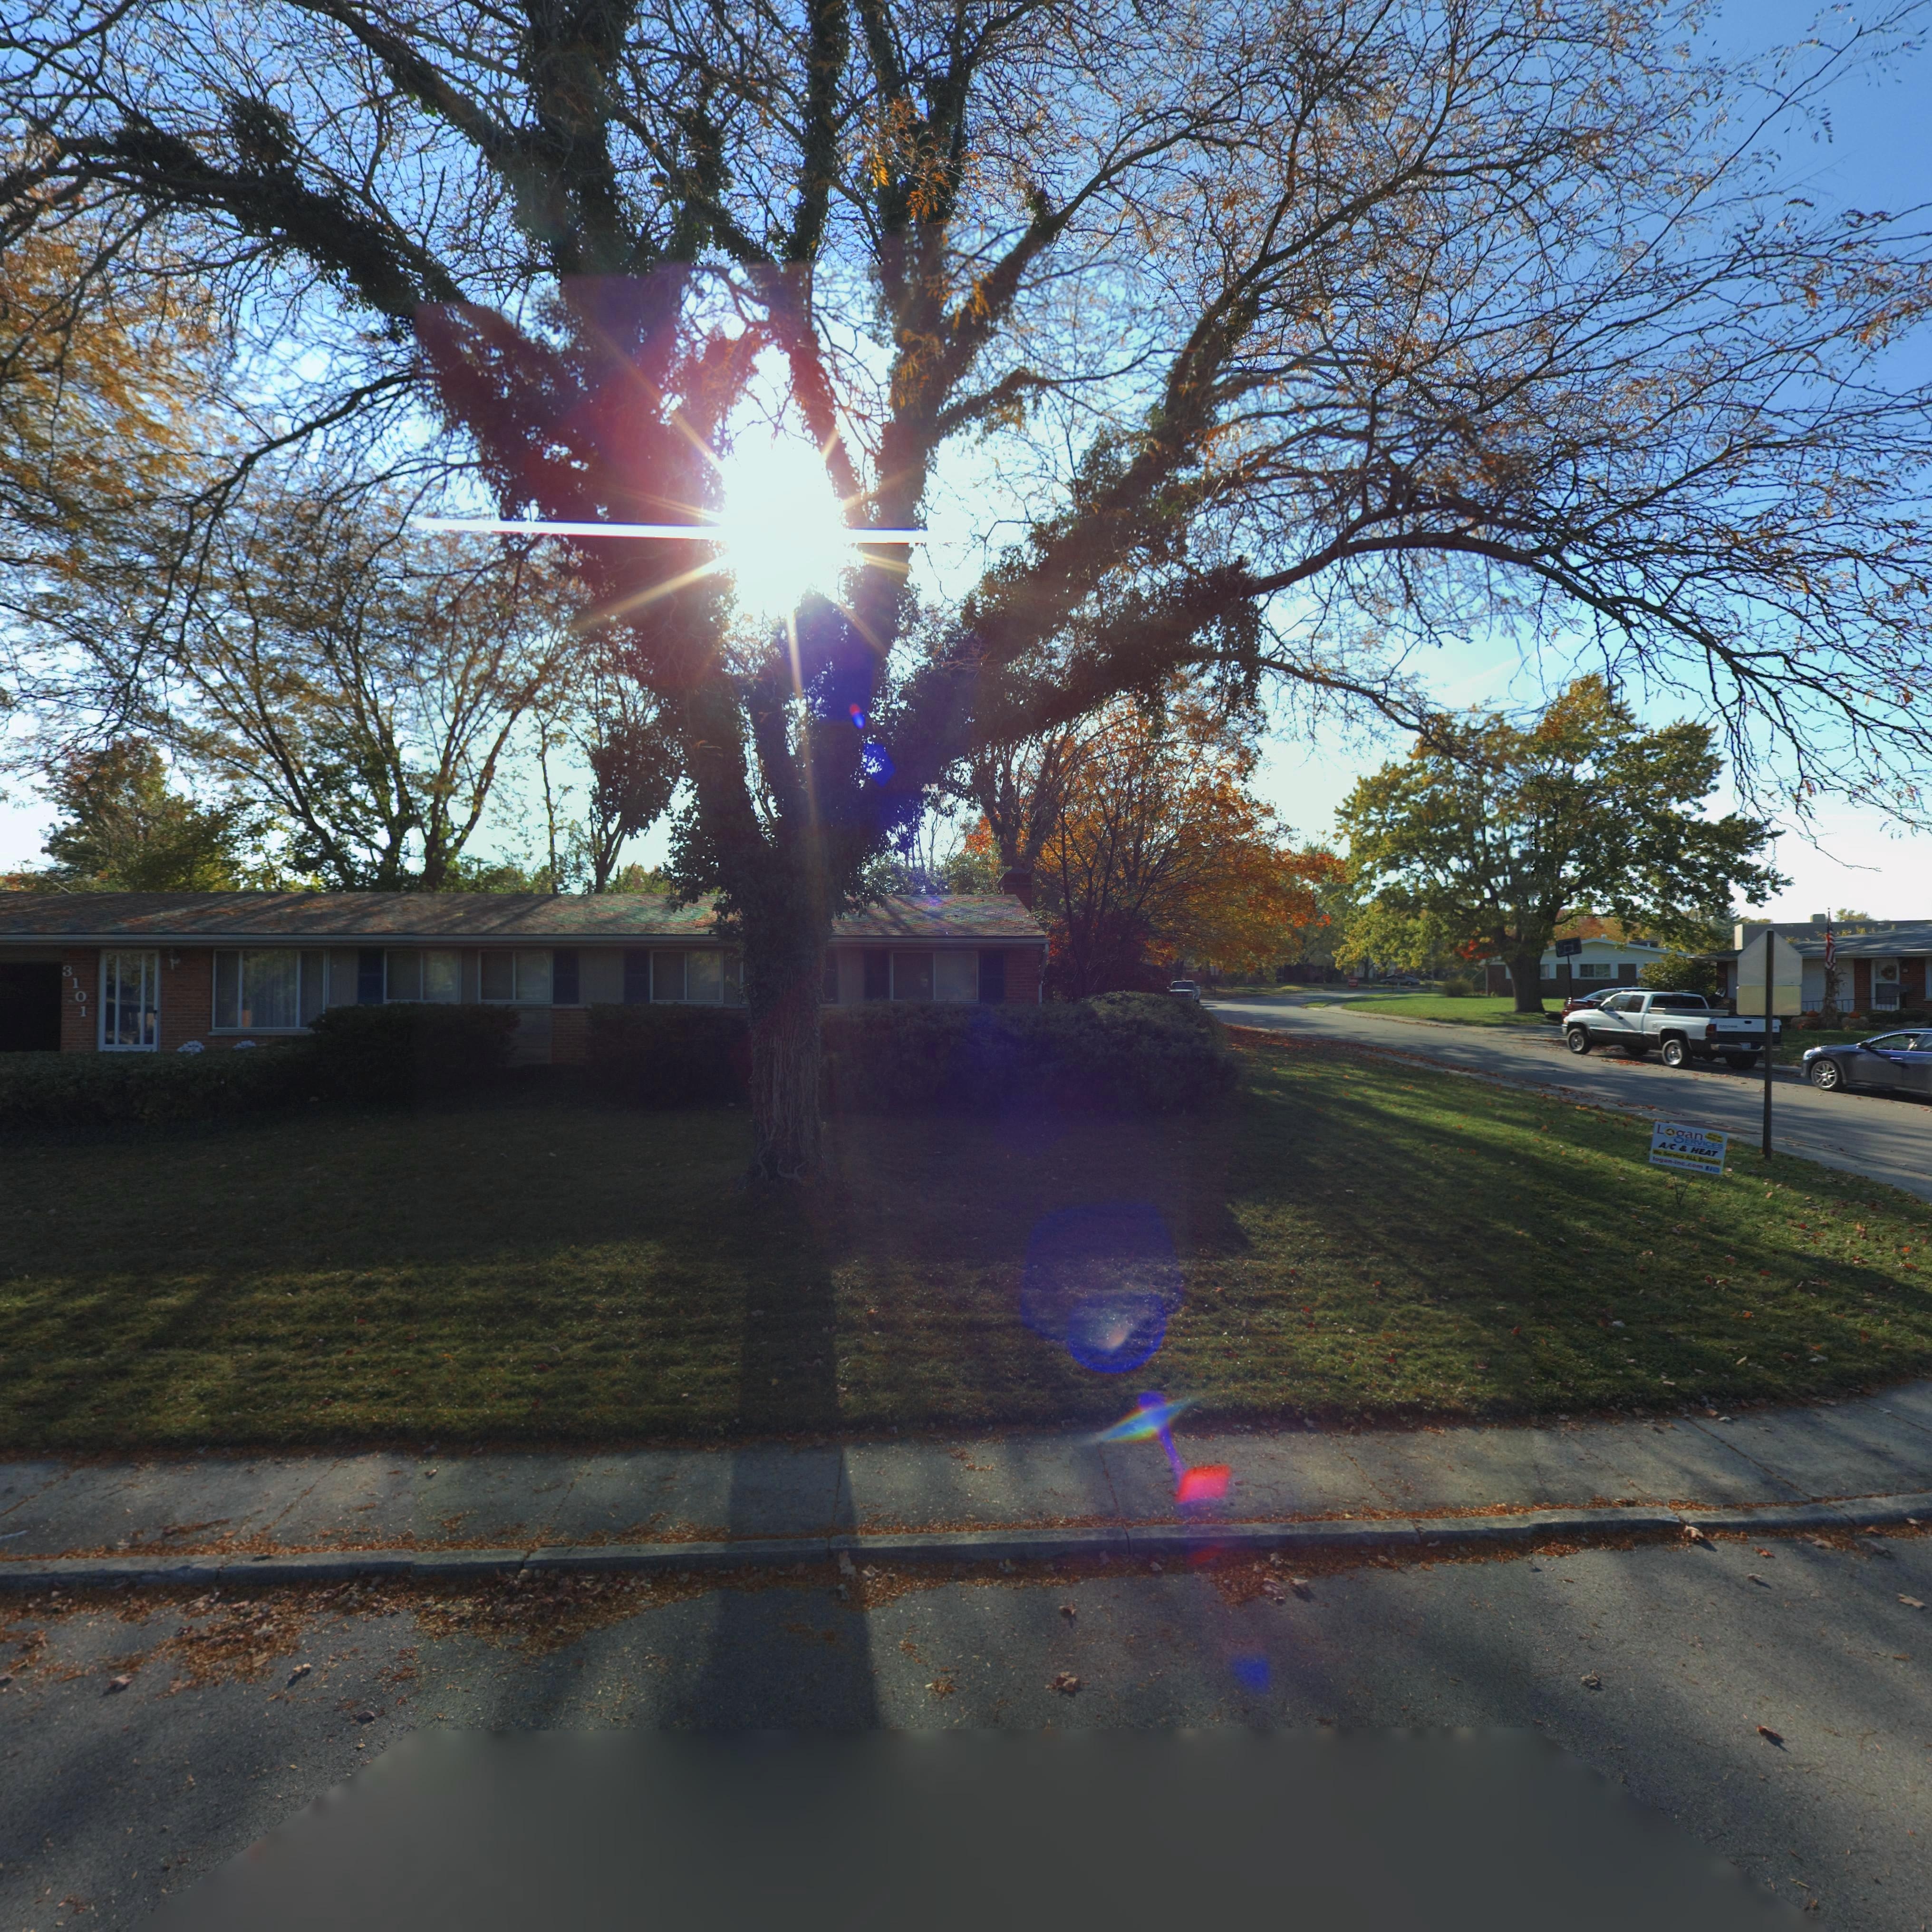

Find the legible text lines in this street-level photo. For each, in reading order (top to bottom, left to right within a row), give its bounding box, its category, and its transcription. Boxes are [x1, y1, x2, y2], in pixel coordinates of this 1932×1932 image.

[62, 964, 88, 1017] StreetNumber: 3101